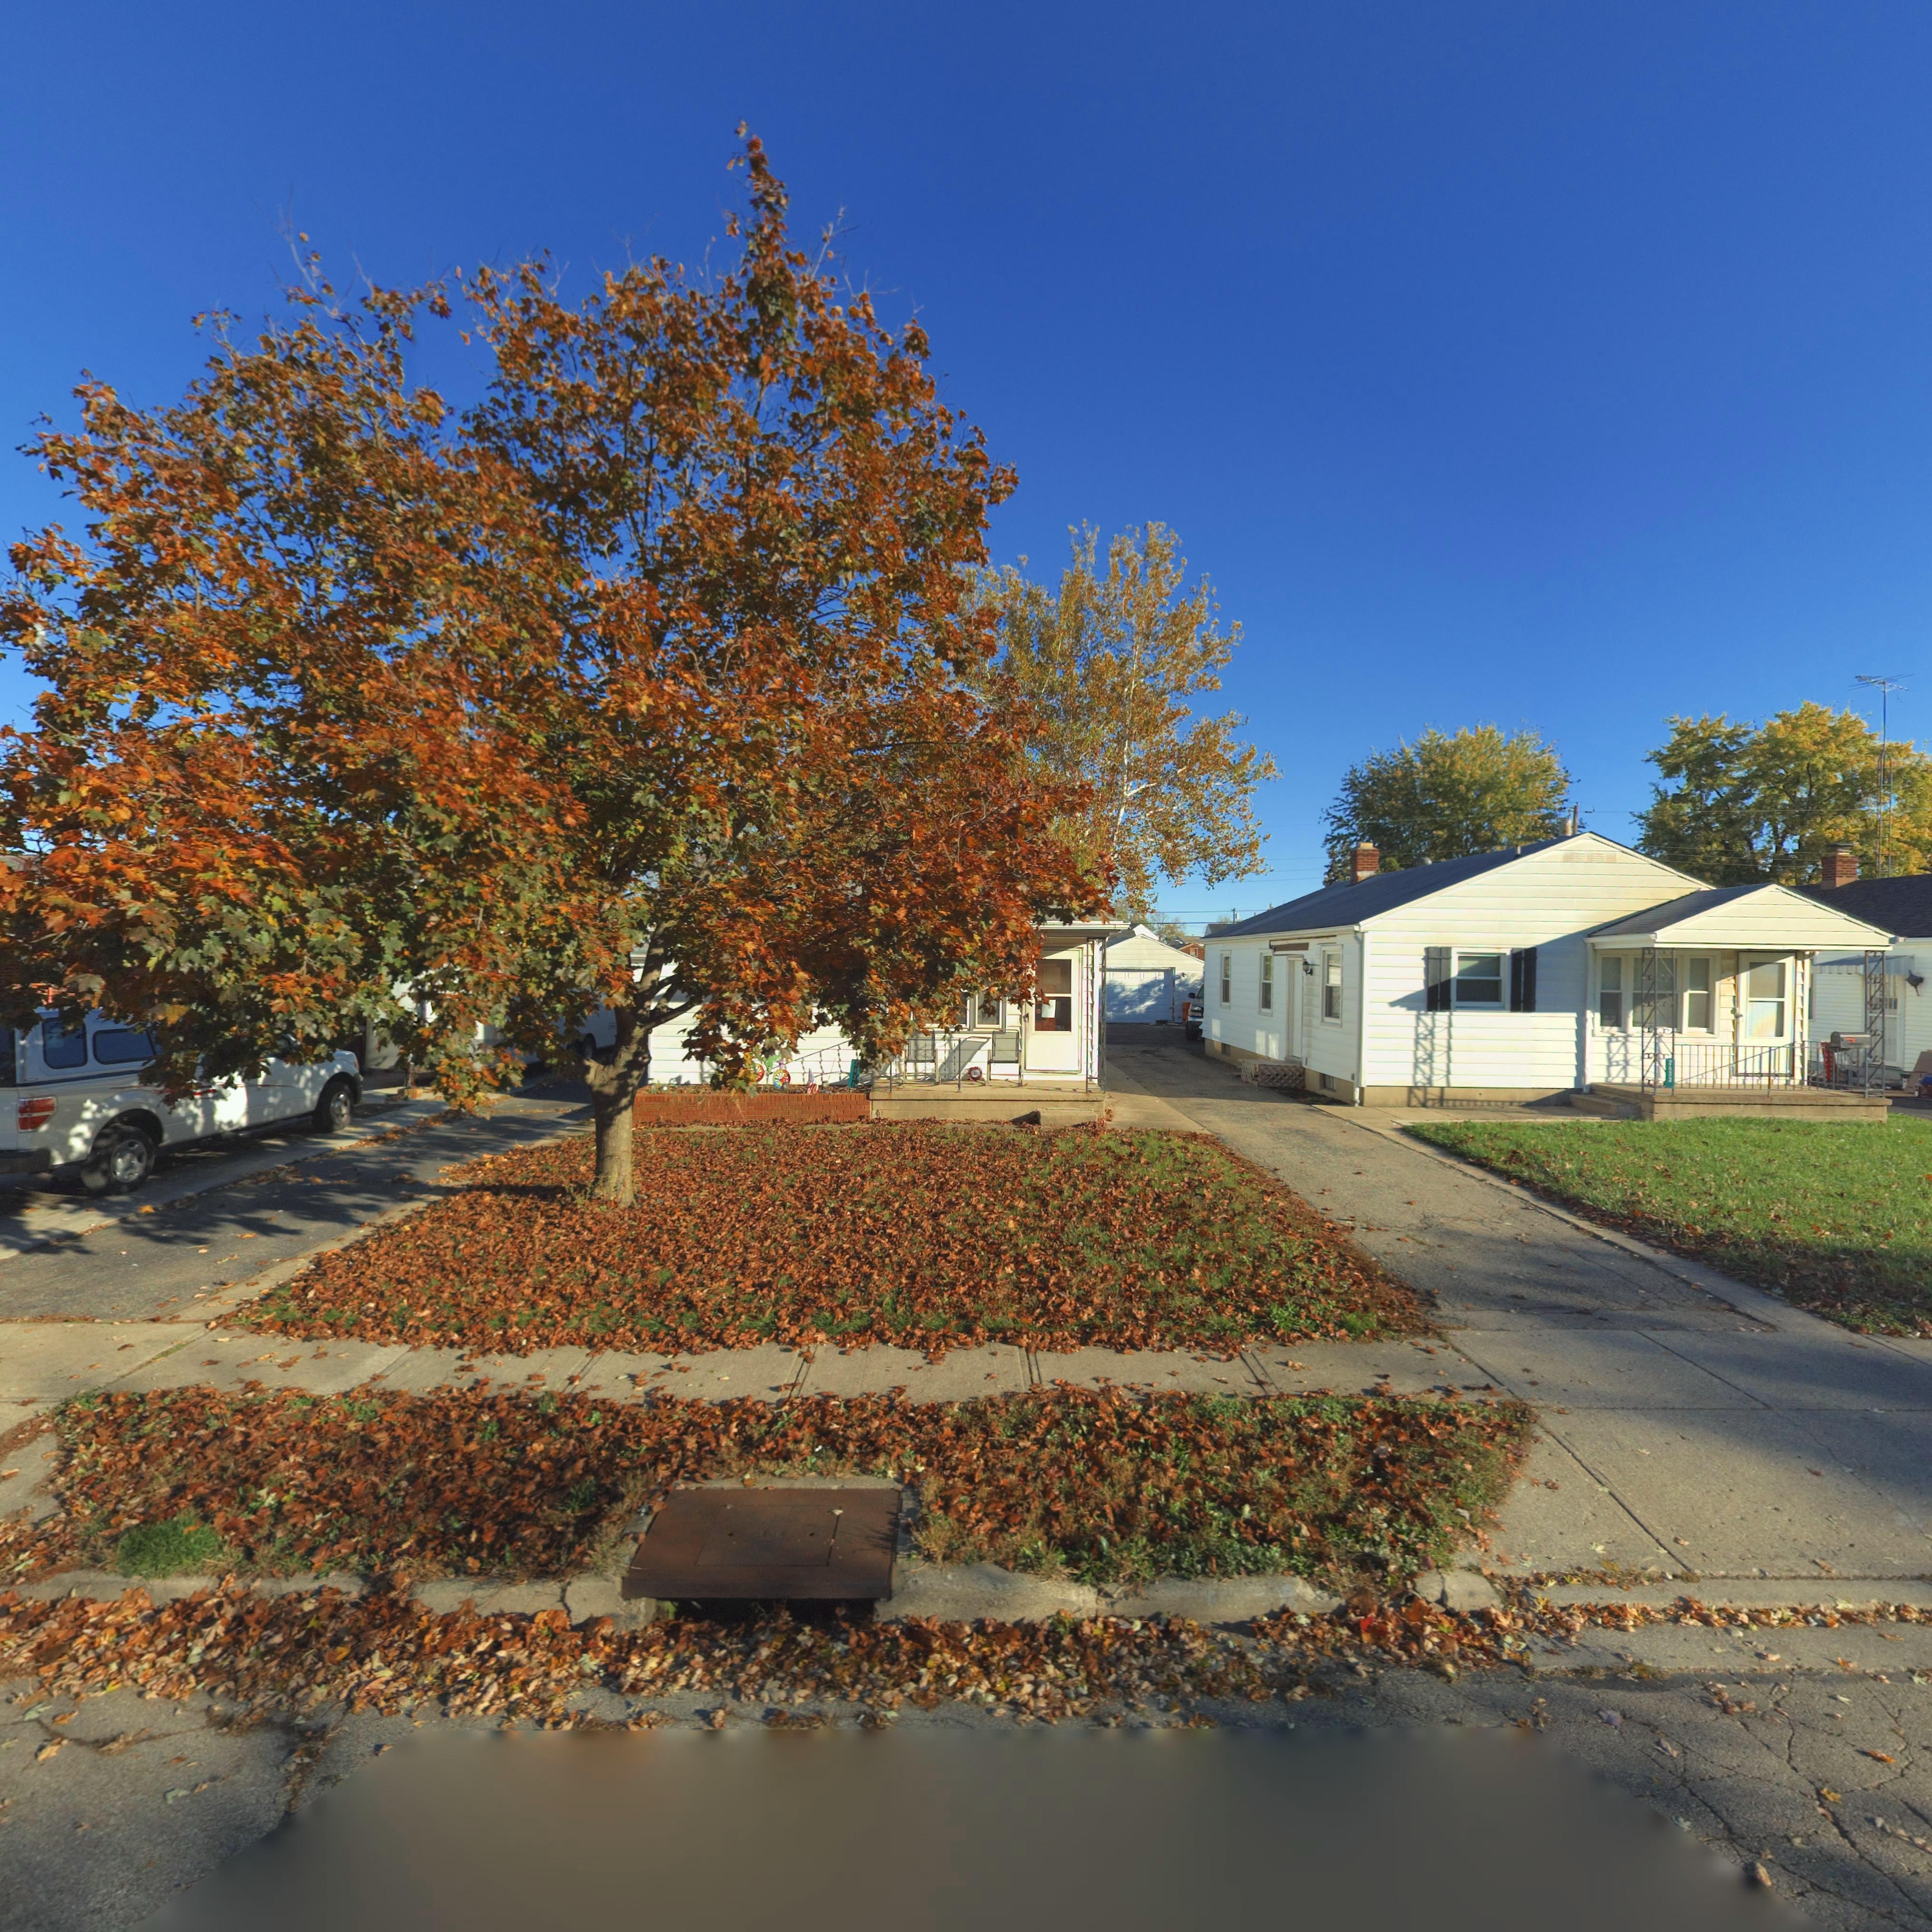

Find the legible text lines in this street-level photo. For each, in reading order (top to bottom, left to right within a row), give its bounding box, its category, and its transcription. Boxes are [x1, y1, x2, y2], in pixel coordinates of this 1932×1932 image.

[850, 1060, 859, 1088] StreetNumber: 2437
[1667, 1059, 1672, 1083] StreetNumber: 2433